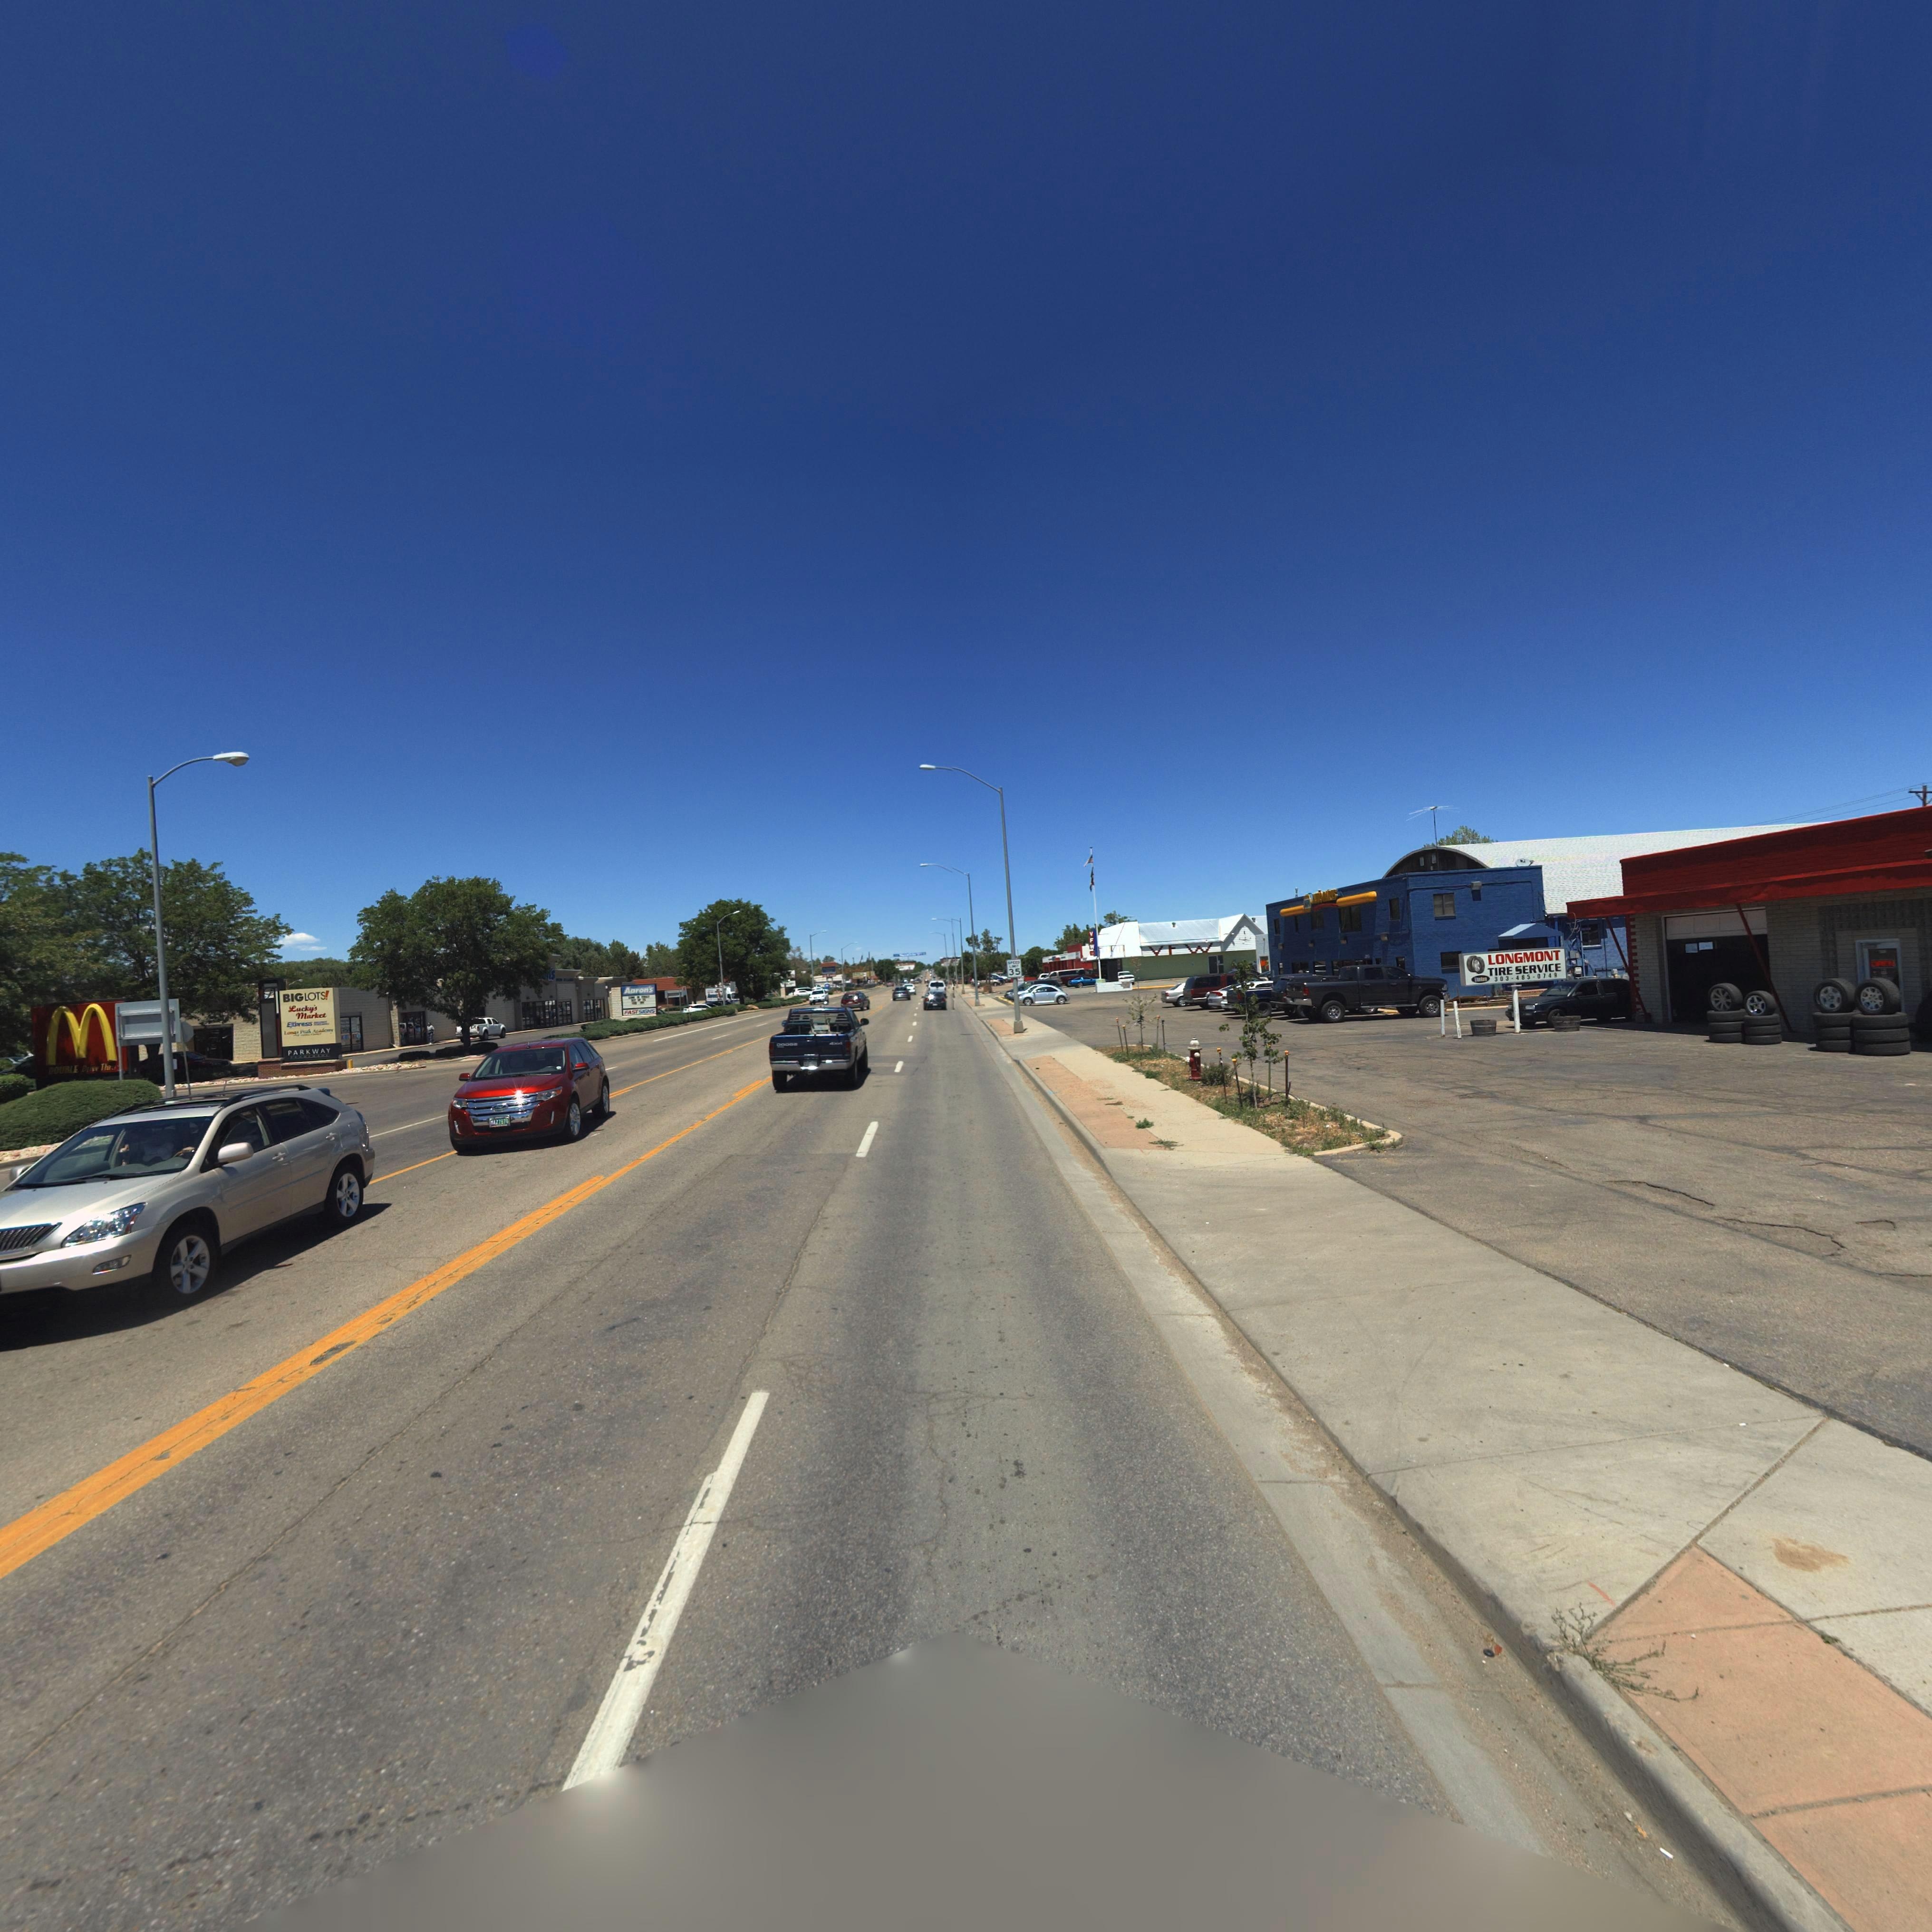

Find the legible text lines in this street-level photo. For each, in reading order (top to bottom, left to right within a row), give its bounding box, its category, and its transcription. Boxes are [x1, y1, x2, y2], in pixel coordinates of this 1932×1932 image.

[1312, 888, 1338, 904] BusinessName: **** P*RTS
[1304, 898, 1311, 908] BusinessName: *P*
[1089, 931, 1094, 948] BusinessName: VFW
[1148, 942, 1214, 956] BusinessName: VFW
[1488, 950, 1561, 966] BusinessName: LONGMONT
[546, 967, 555, 981] BusinessName: *s
[1487, 962, 1561, 976] BusinessName: TIRE SERVICE
[282, 990, 330, 1003] BusinessName: BIGLOTS!
[623, 985, 653, 994] BusinessName: Aaron's
[288, 1005, 318, 1013] BusinessName: Lucky's
[295, 1012, 327, 1019] BusinessName: Market
[624, 1009, 655, 1014] BusinessName: FAST S*GNS
[286, 1021, 312, 1029] BusinessName: Express
[284, 1027, 333, 1035] BusinessName: Lo*** P**k Aca***y